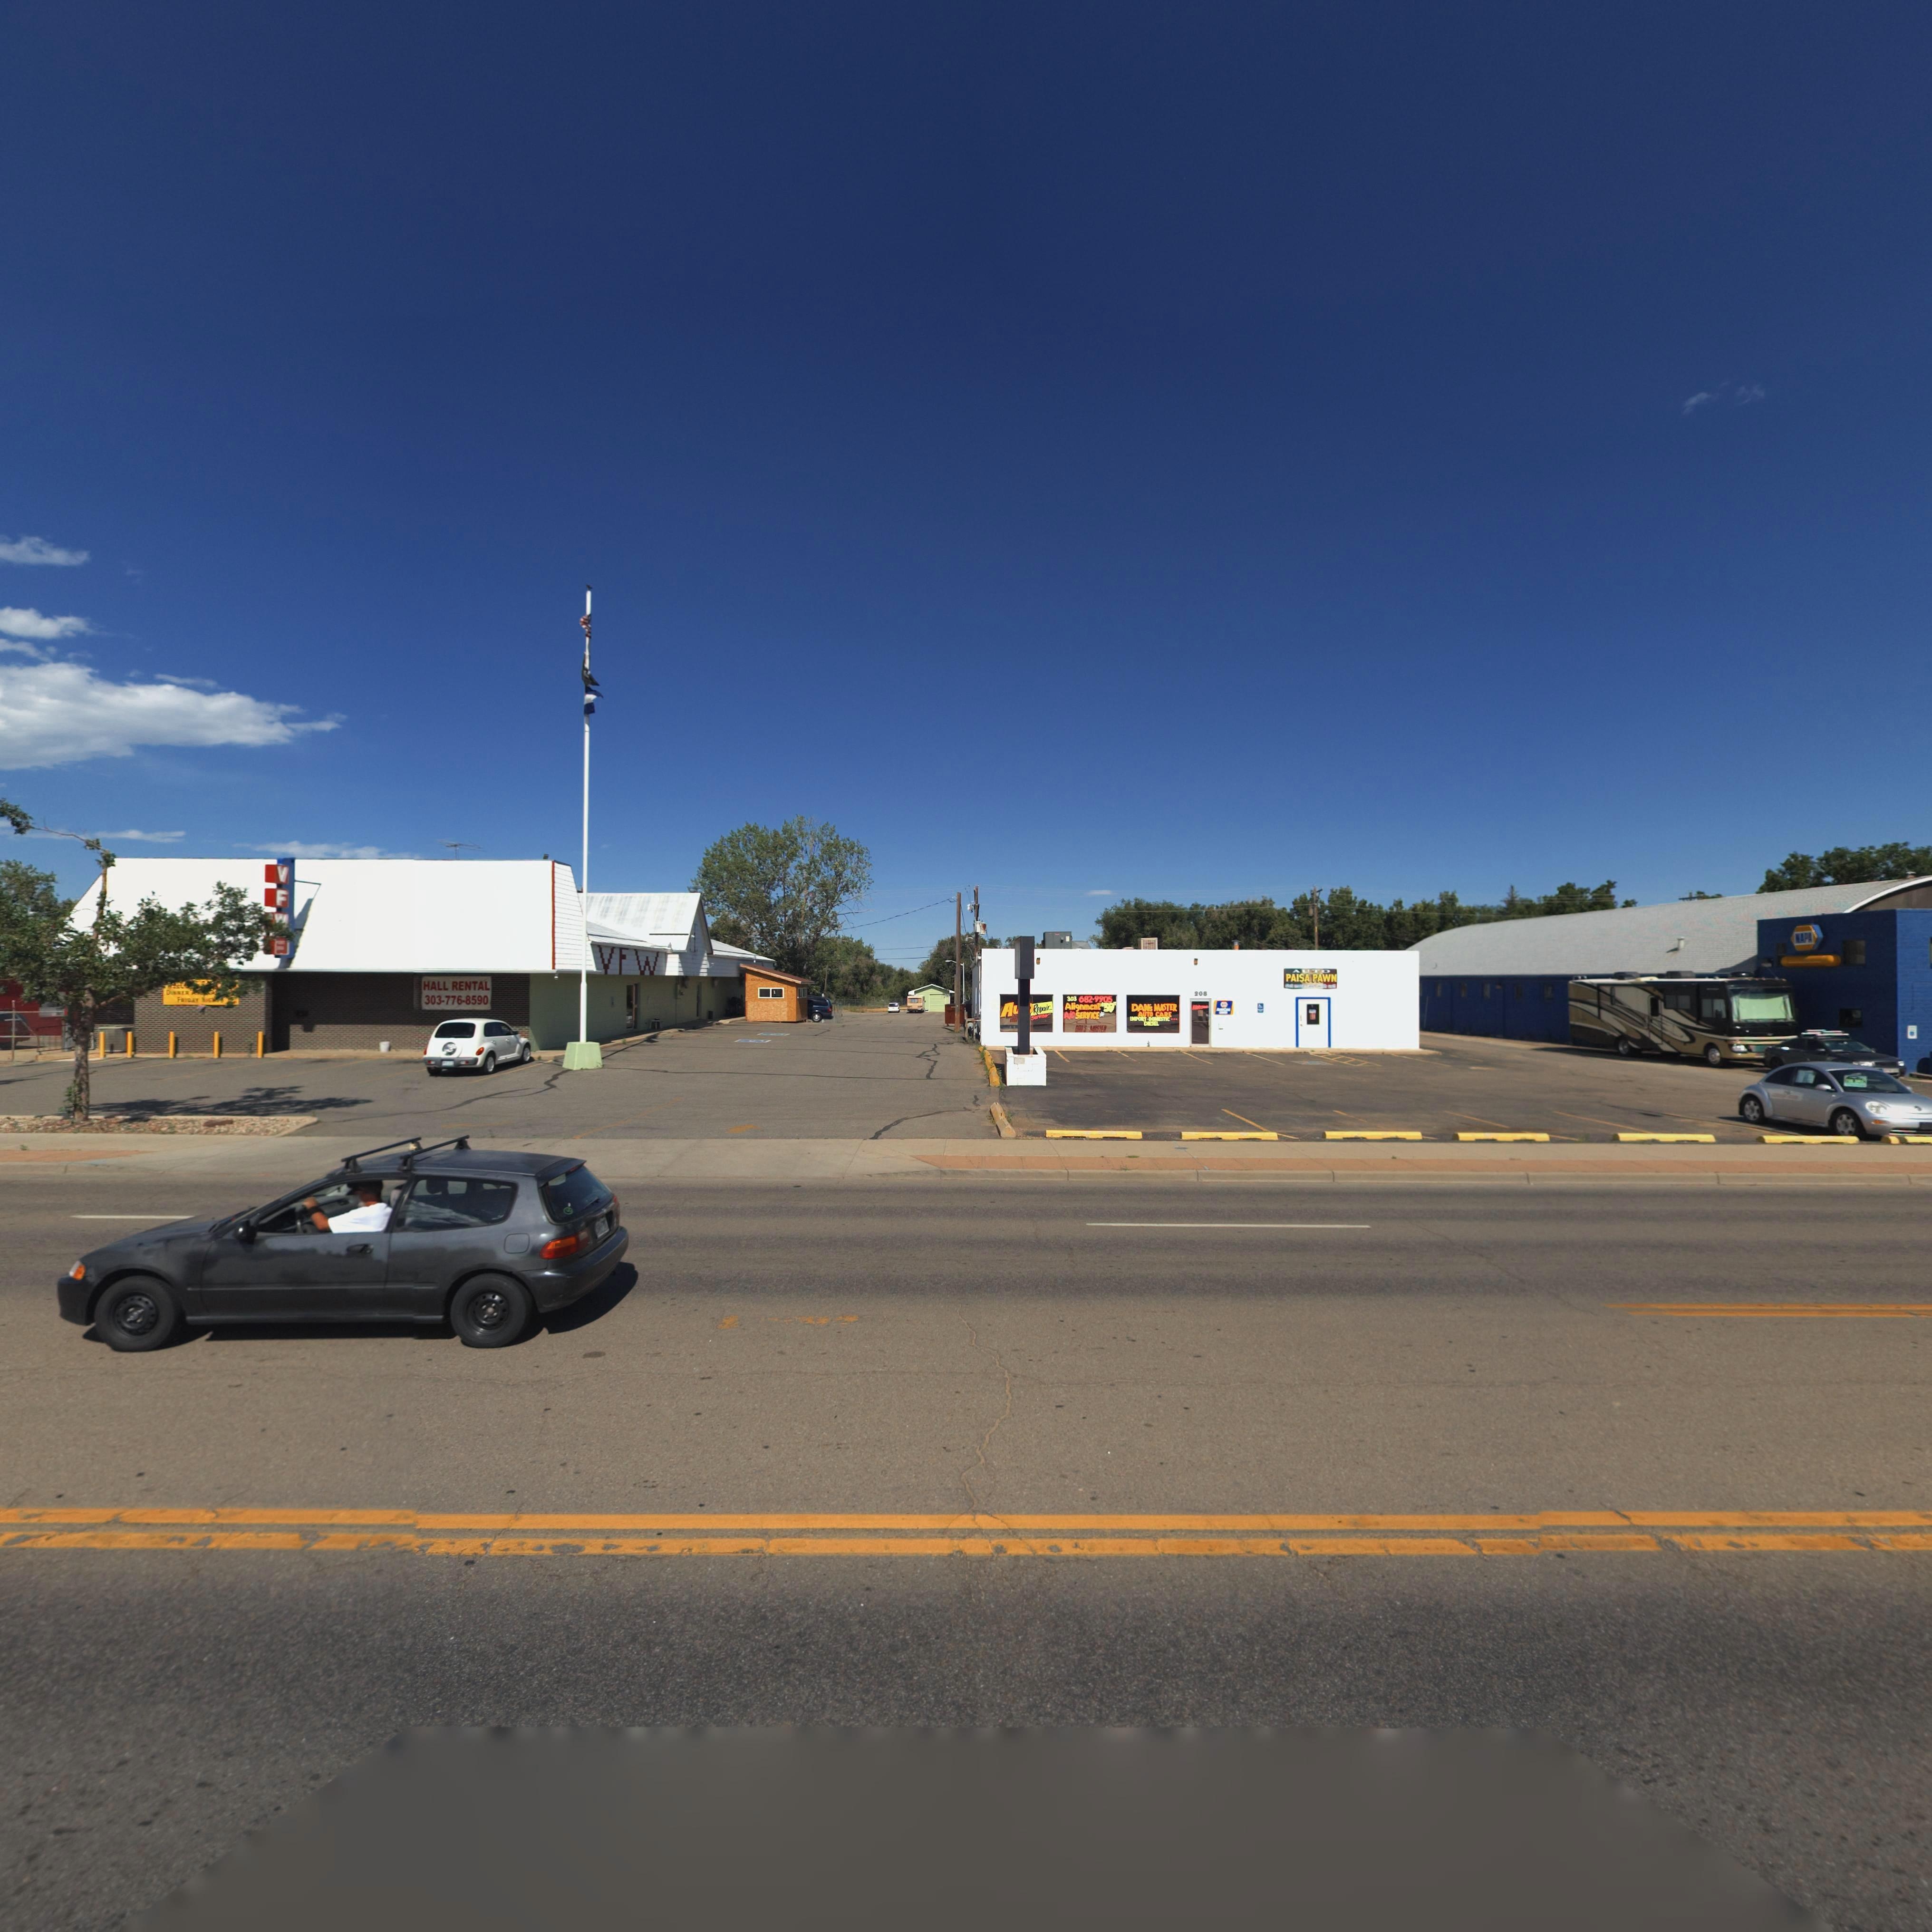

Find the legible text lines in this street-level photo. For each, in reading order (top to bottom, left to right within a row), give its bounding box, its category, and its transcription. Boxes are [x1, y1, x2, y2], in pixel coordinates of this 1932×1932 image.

[272, 865, 290, 929] BusinessName: VFW
[1795, 931, 1813, 944] BusinessName: NAPA
[596, 943, 660, 976] BusinessName: VFW
[1292, 968, 1331, 974] BusinessName: AUTO
[1285, 973, 1337, 983] BusinessName: PAISA PAWN
[1194, 991, 1207, 996] StreetNumber: 208
[1131, 1003, 1178, 1012] BusinessName: DANS MASTER
[1137, 1011, 1172, 1017] BusinessName: AUTO CARE
[1074, 1024, 1107, 1033] BusinessName: **N'S M*STER